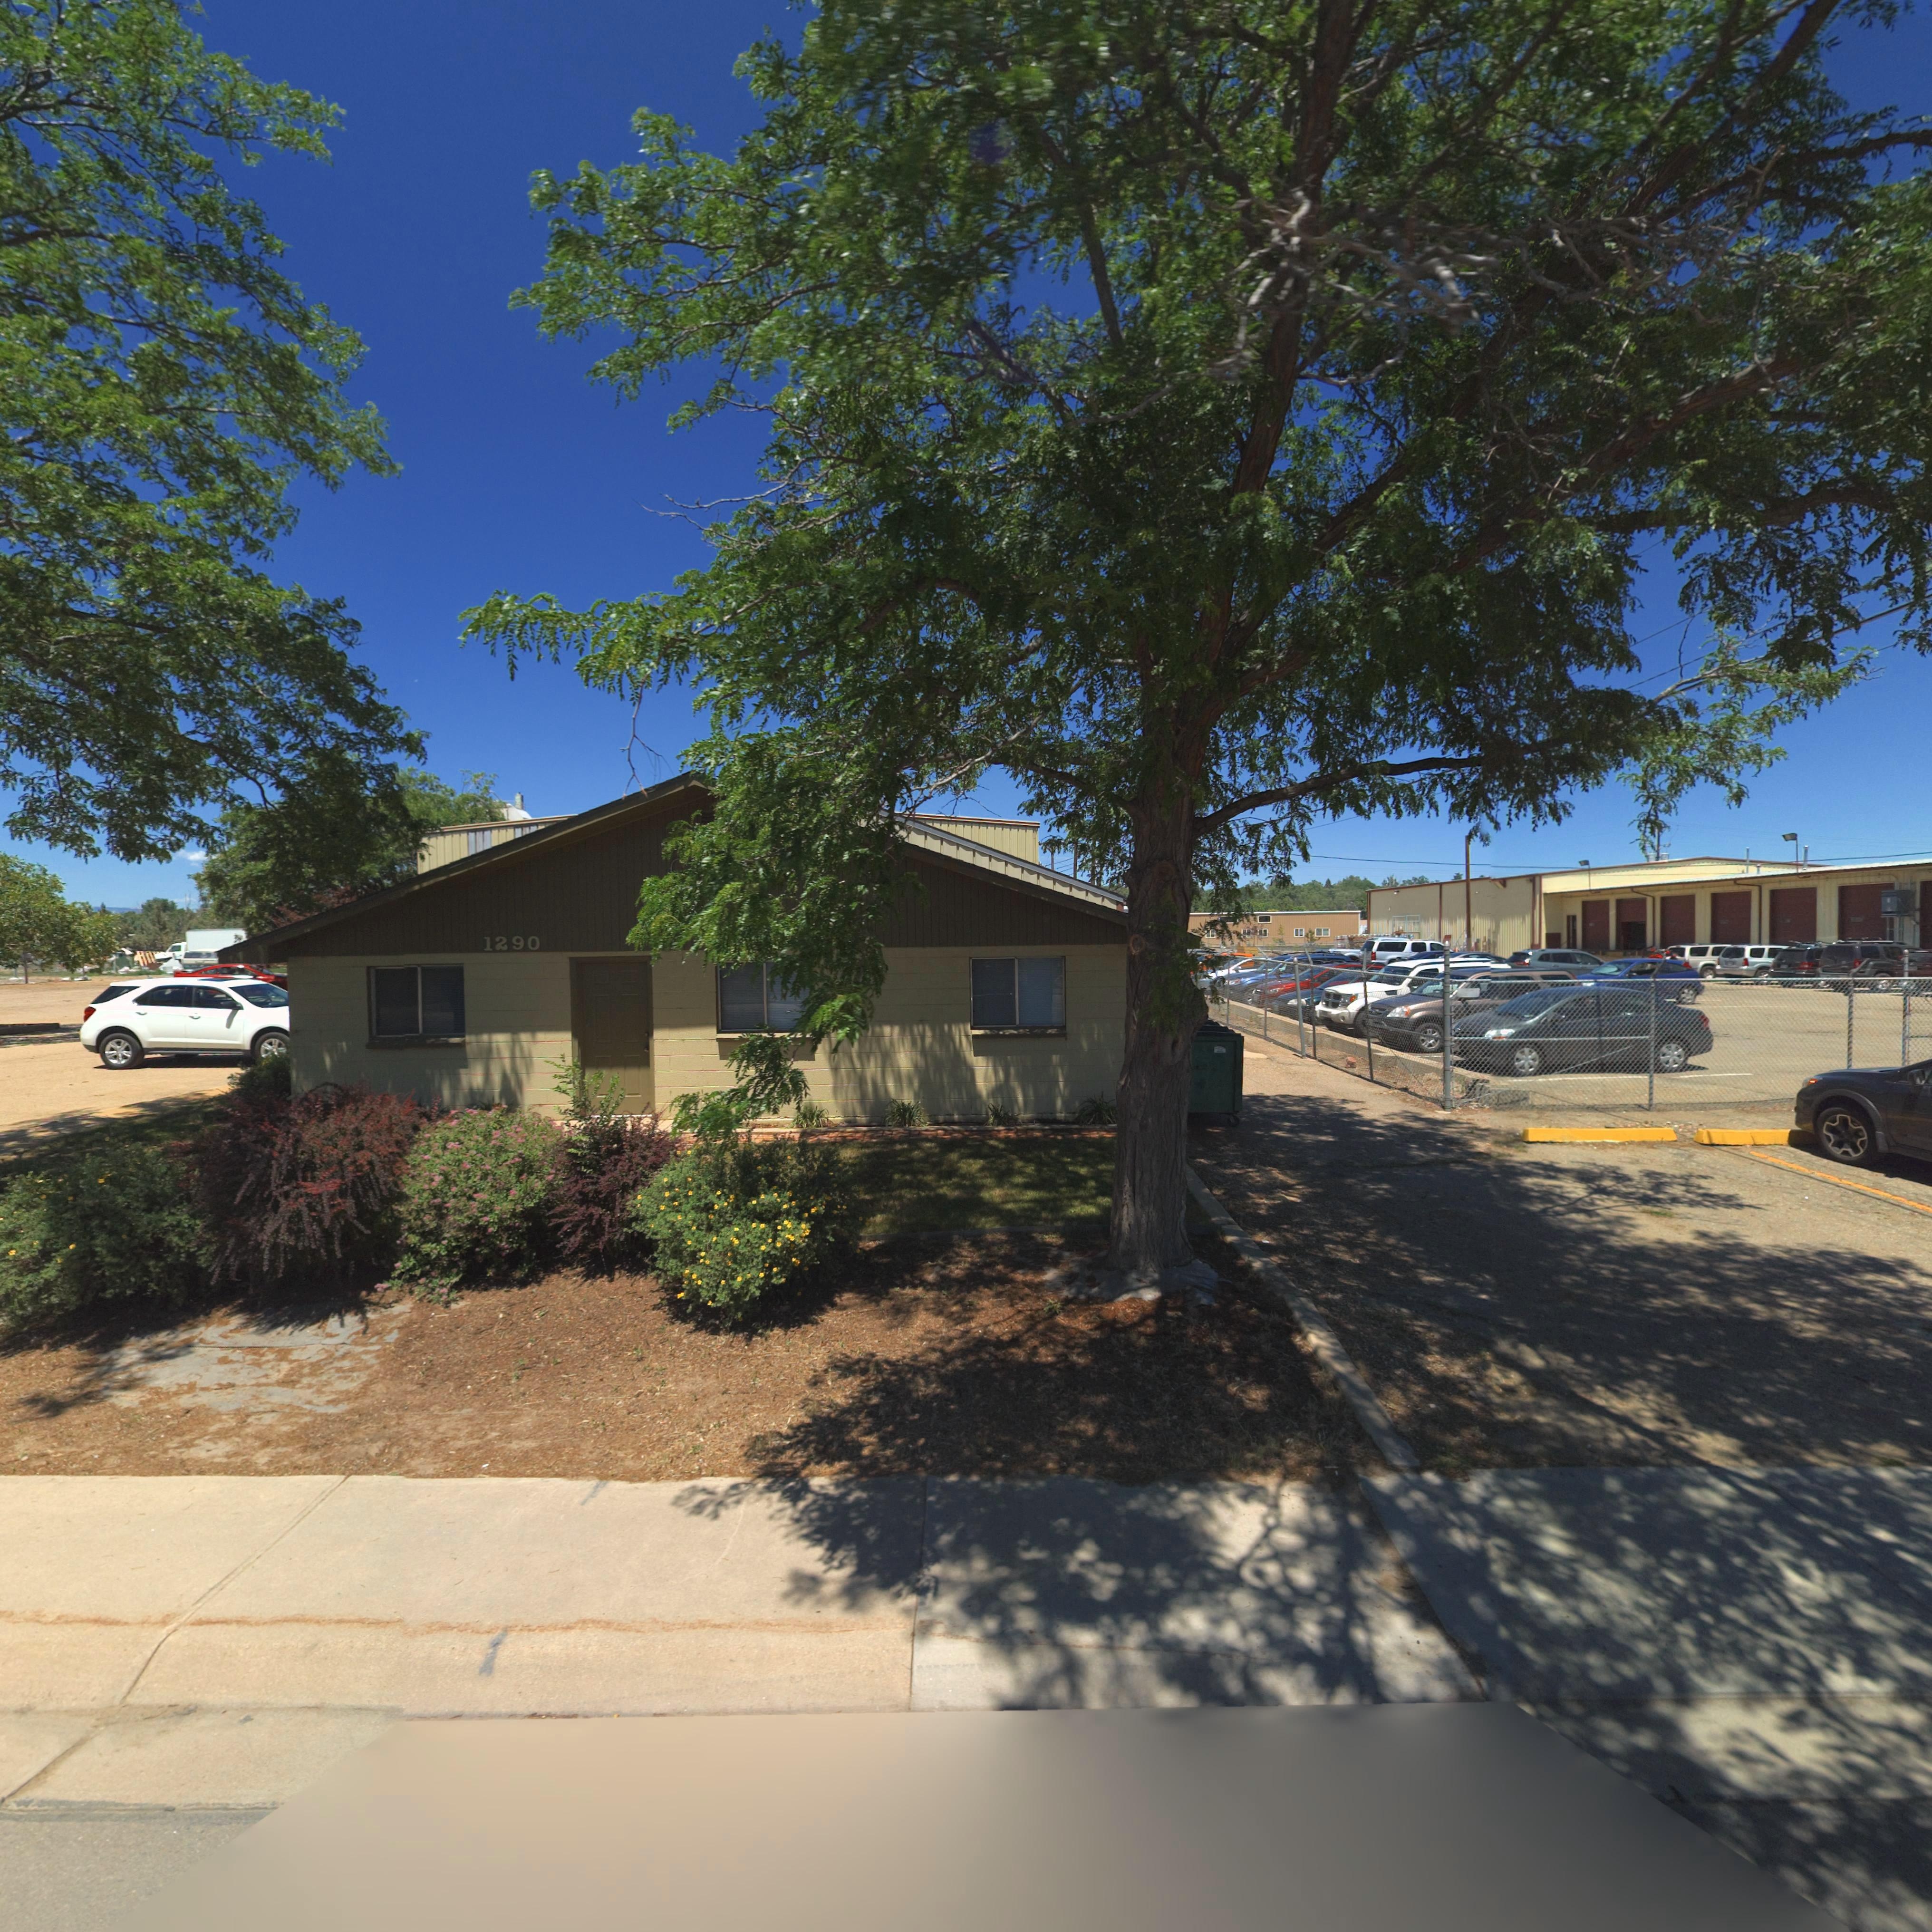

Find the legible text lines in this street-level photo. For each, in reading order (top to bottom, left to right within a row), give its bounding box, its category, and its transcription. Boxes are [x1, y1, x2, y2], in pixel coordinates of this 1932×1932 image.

[483, 936, 540, 950] StreetNumber: 1290